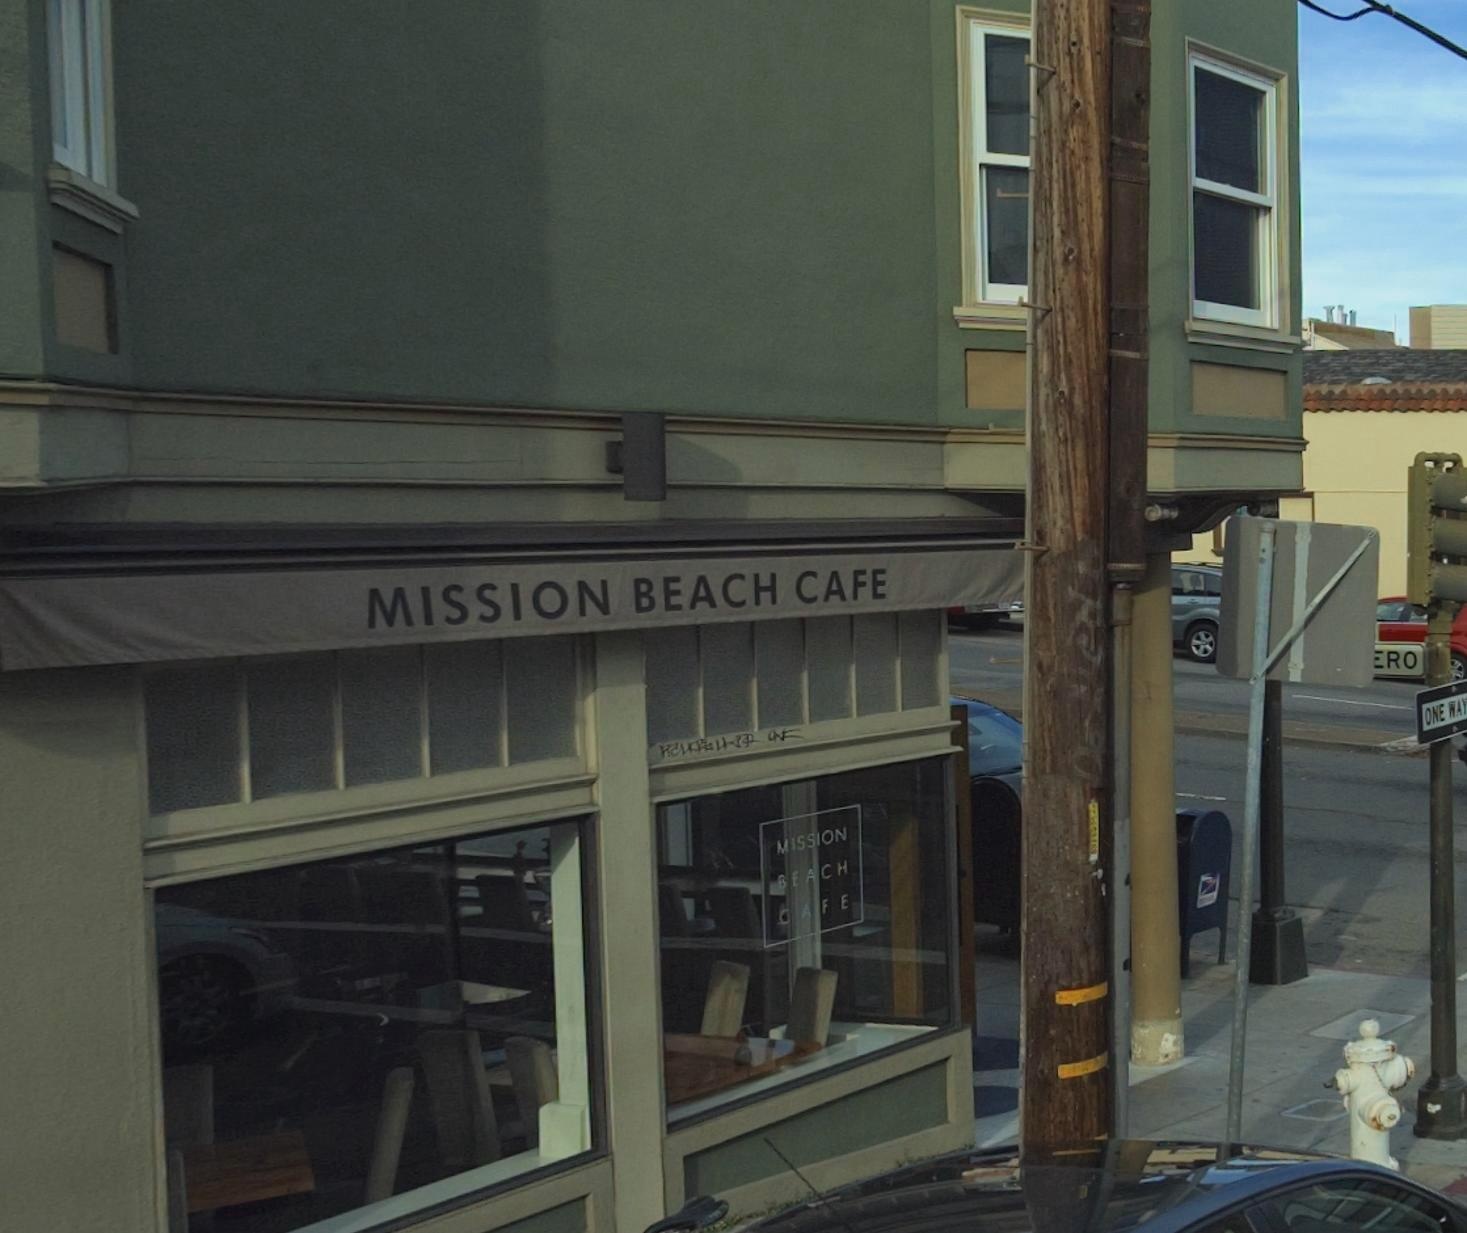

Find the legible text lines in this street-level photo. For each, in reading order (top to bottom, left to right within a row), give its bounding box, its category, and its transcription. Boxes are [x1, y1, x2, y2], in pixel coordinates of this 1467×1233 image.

[363, 564, 892, 633] BusinessName: MISSION BEACH CAFE
[1383, 646, 1421, 673] StreetName: RO
[1422, 693, 1466, 731] None: ONE WA
[774, 822, 851, 859] BusinessName: MISSION
[773, 853, 855, 896] BusinessName: BEACH
[774, 888, 853, 931] BusinessName: CAFE\